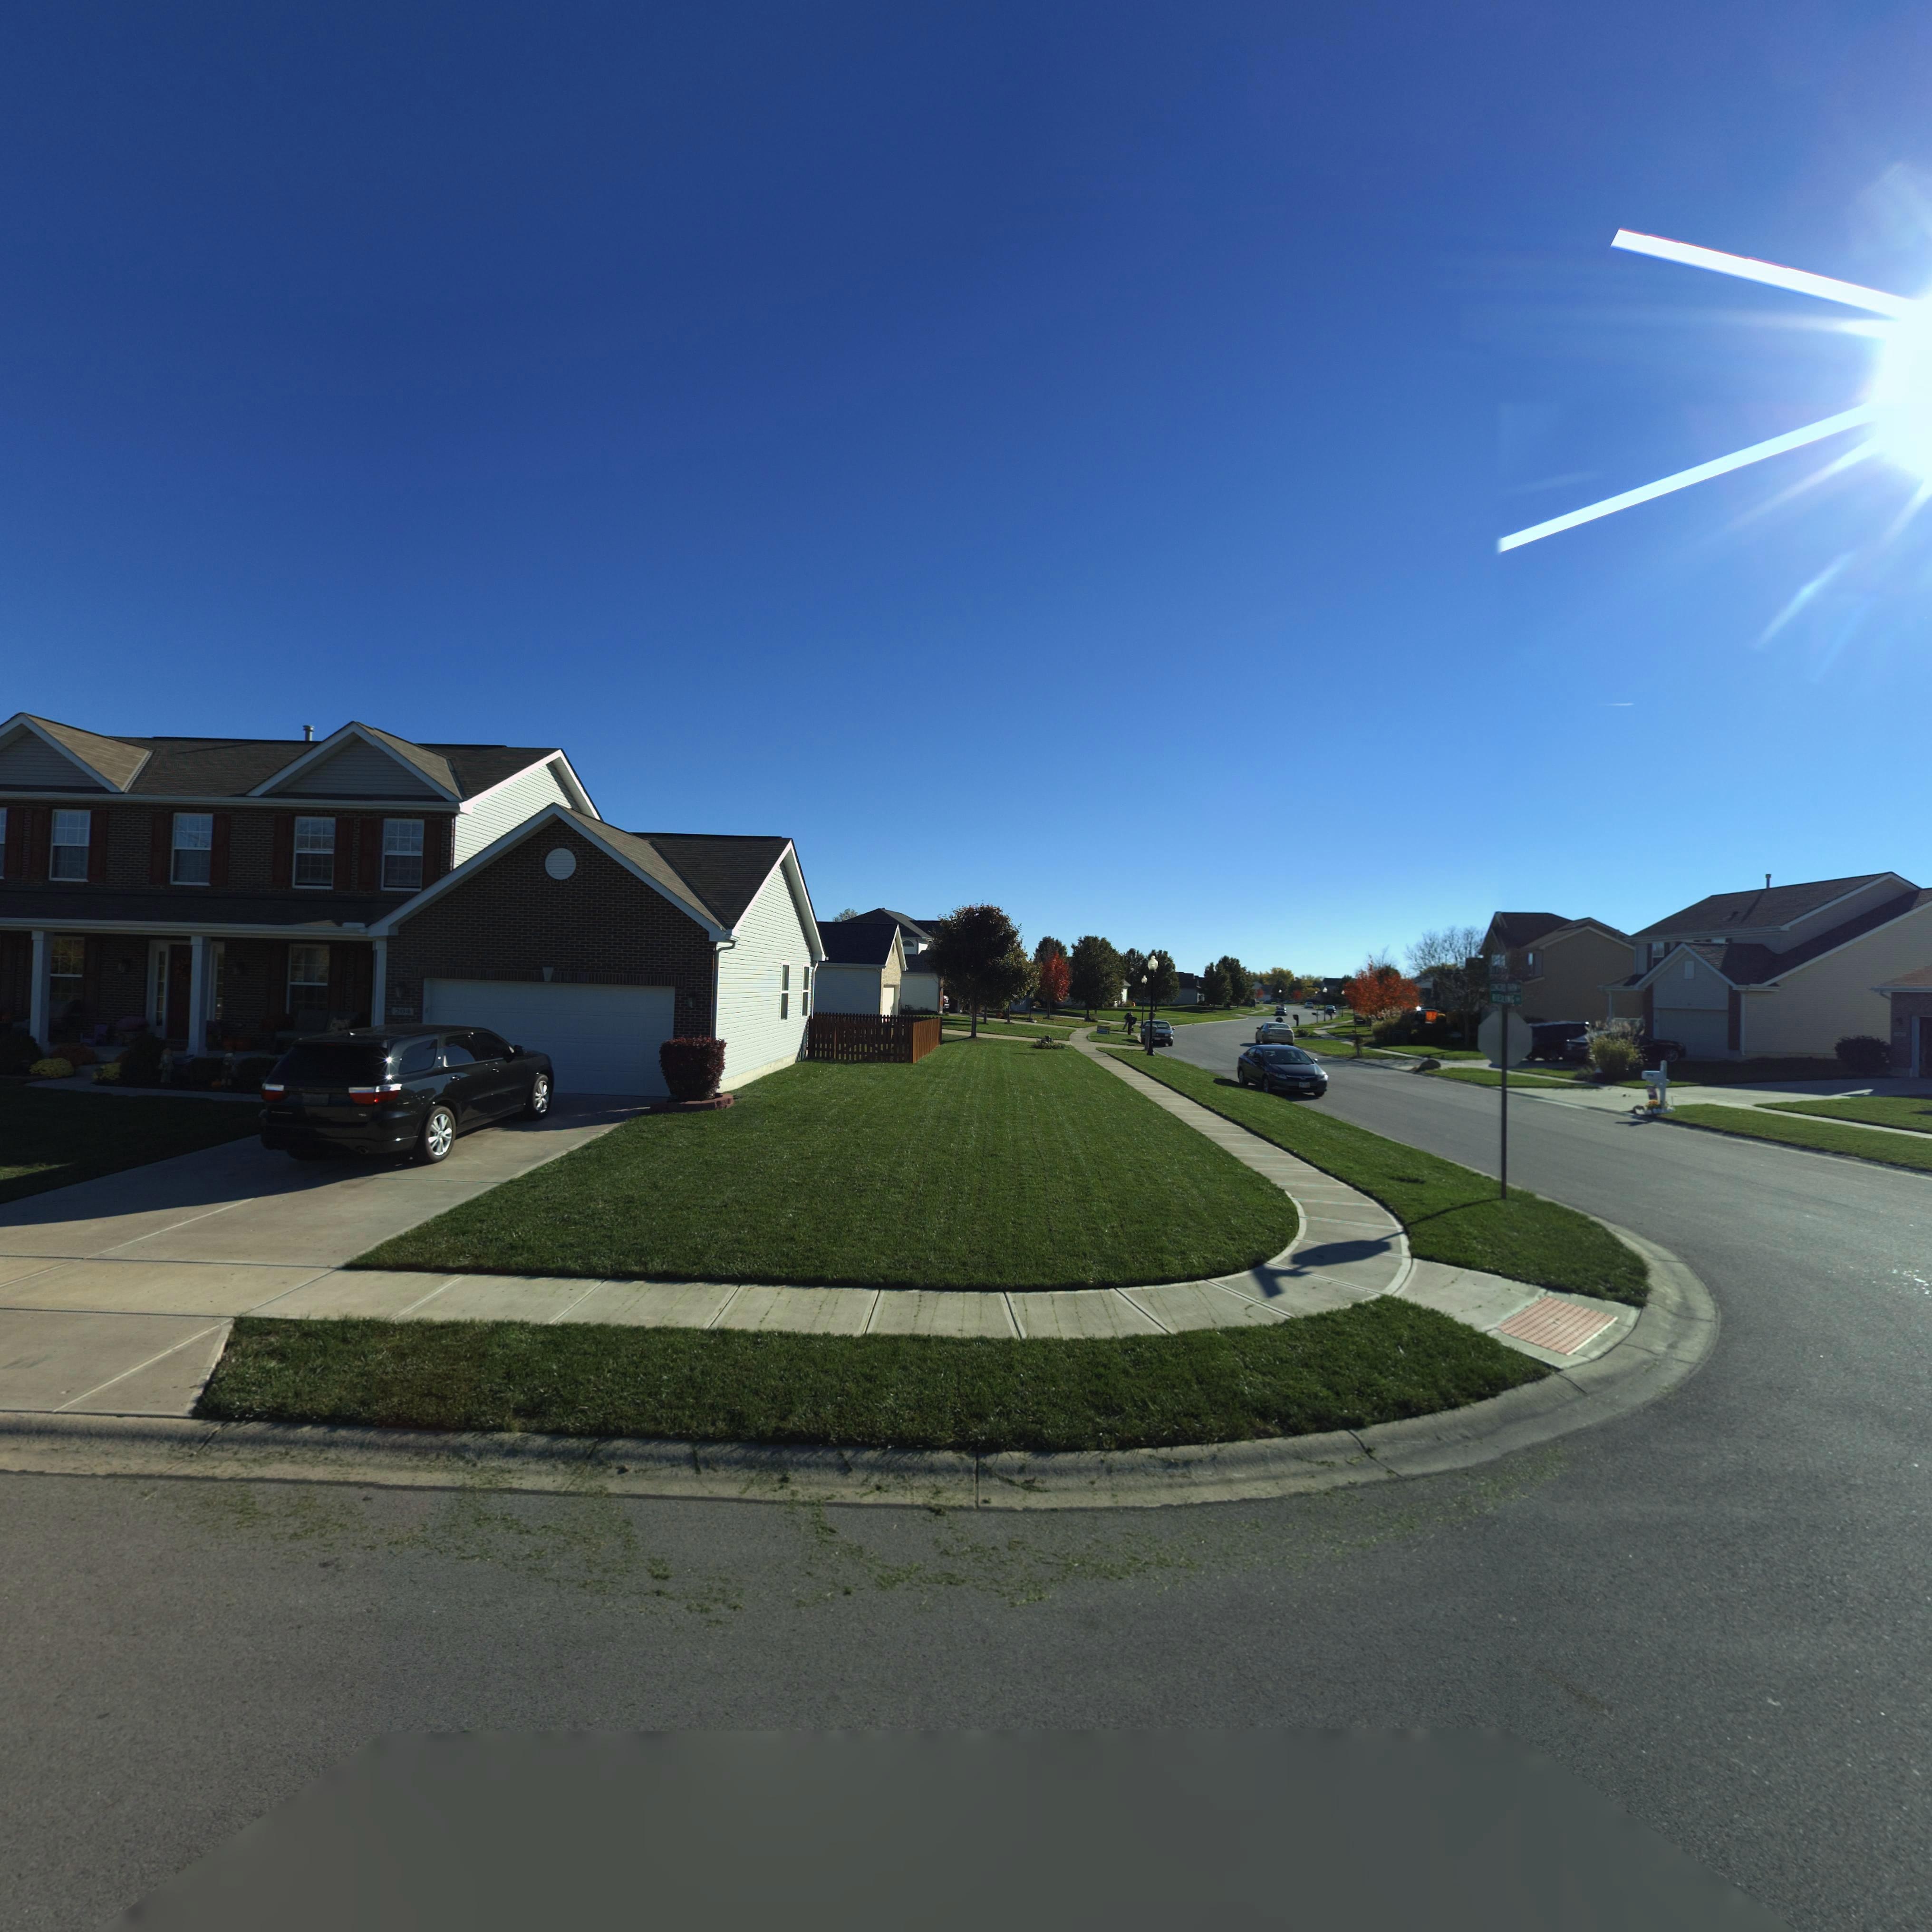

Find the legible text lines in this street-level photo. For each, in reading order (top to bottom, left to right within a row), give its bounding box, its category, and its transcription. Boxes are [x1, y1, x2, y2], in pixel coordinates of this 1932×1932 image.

[394, 1007, 412, 1015] StreetNumber: 204